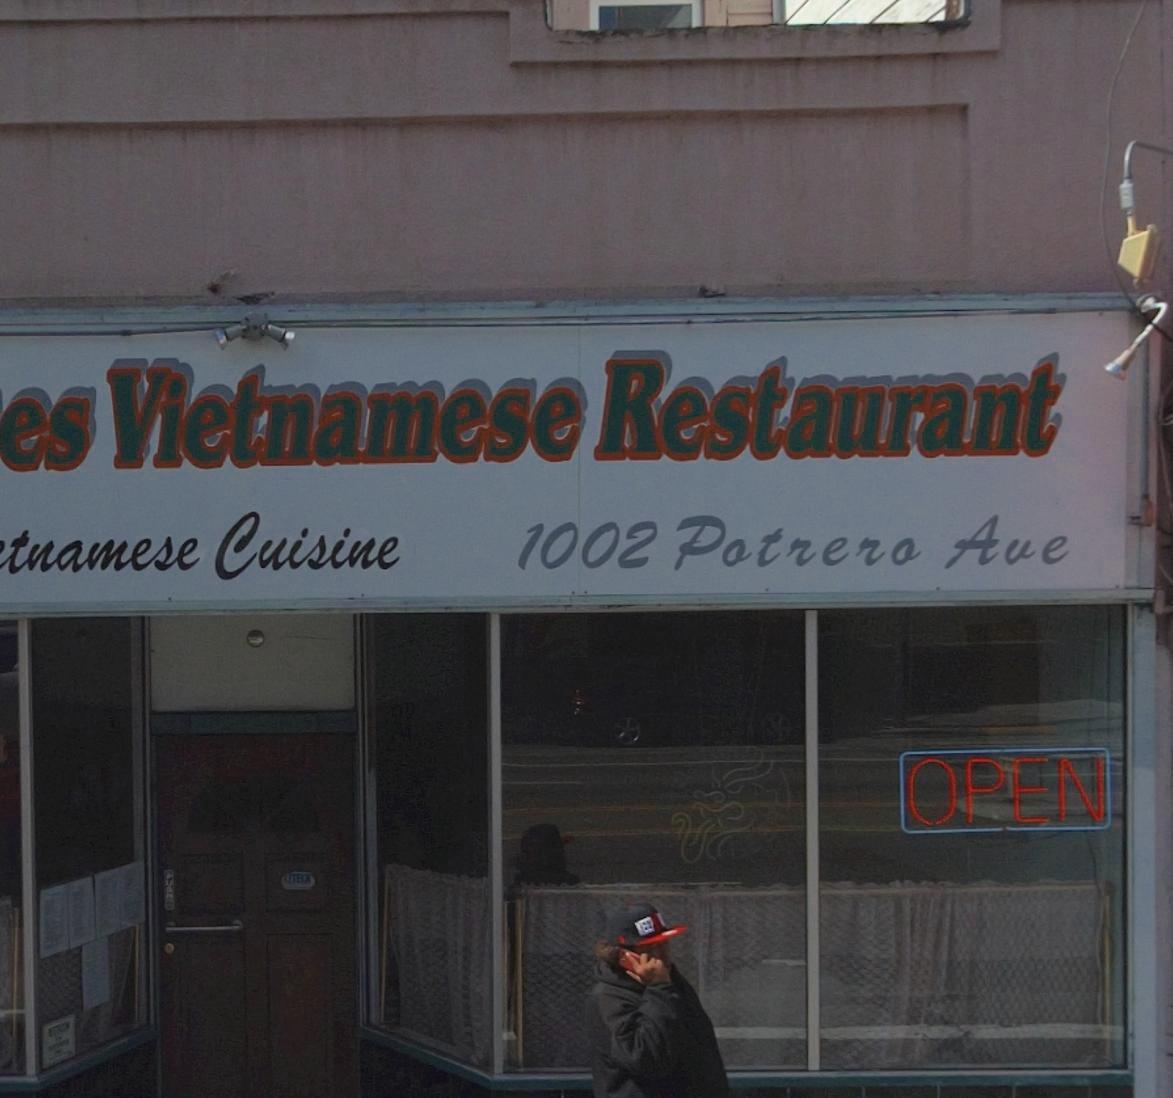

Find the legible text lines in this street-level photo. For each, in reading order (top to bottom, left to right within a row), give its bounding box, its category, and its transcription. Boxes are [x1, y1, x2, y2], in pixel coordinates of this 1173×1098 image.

[0, 356, 1065, 473] BusinessName: es Vietnamese Restaurant
[4, 509, 401, 582] None: tnamese Cuisine
[514, 519, 662, 572] StreetNumber: 1002
[673, 513, 1072, 571] StreetName: Patrero Ave
[906, 754, 1106, 828] None: OPEN